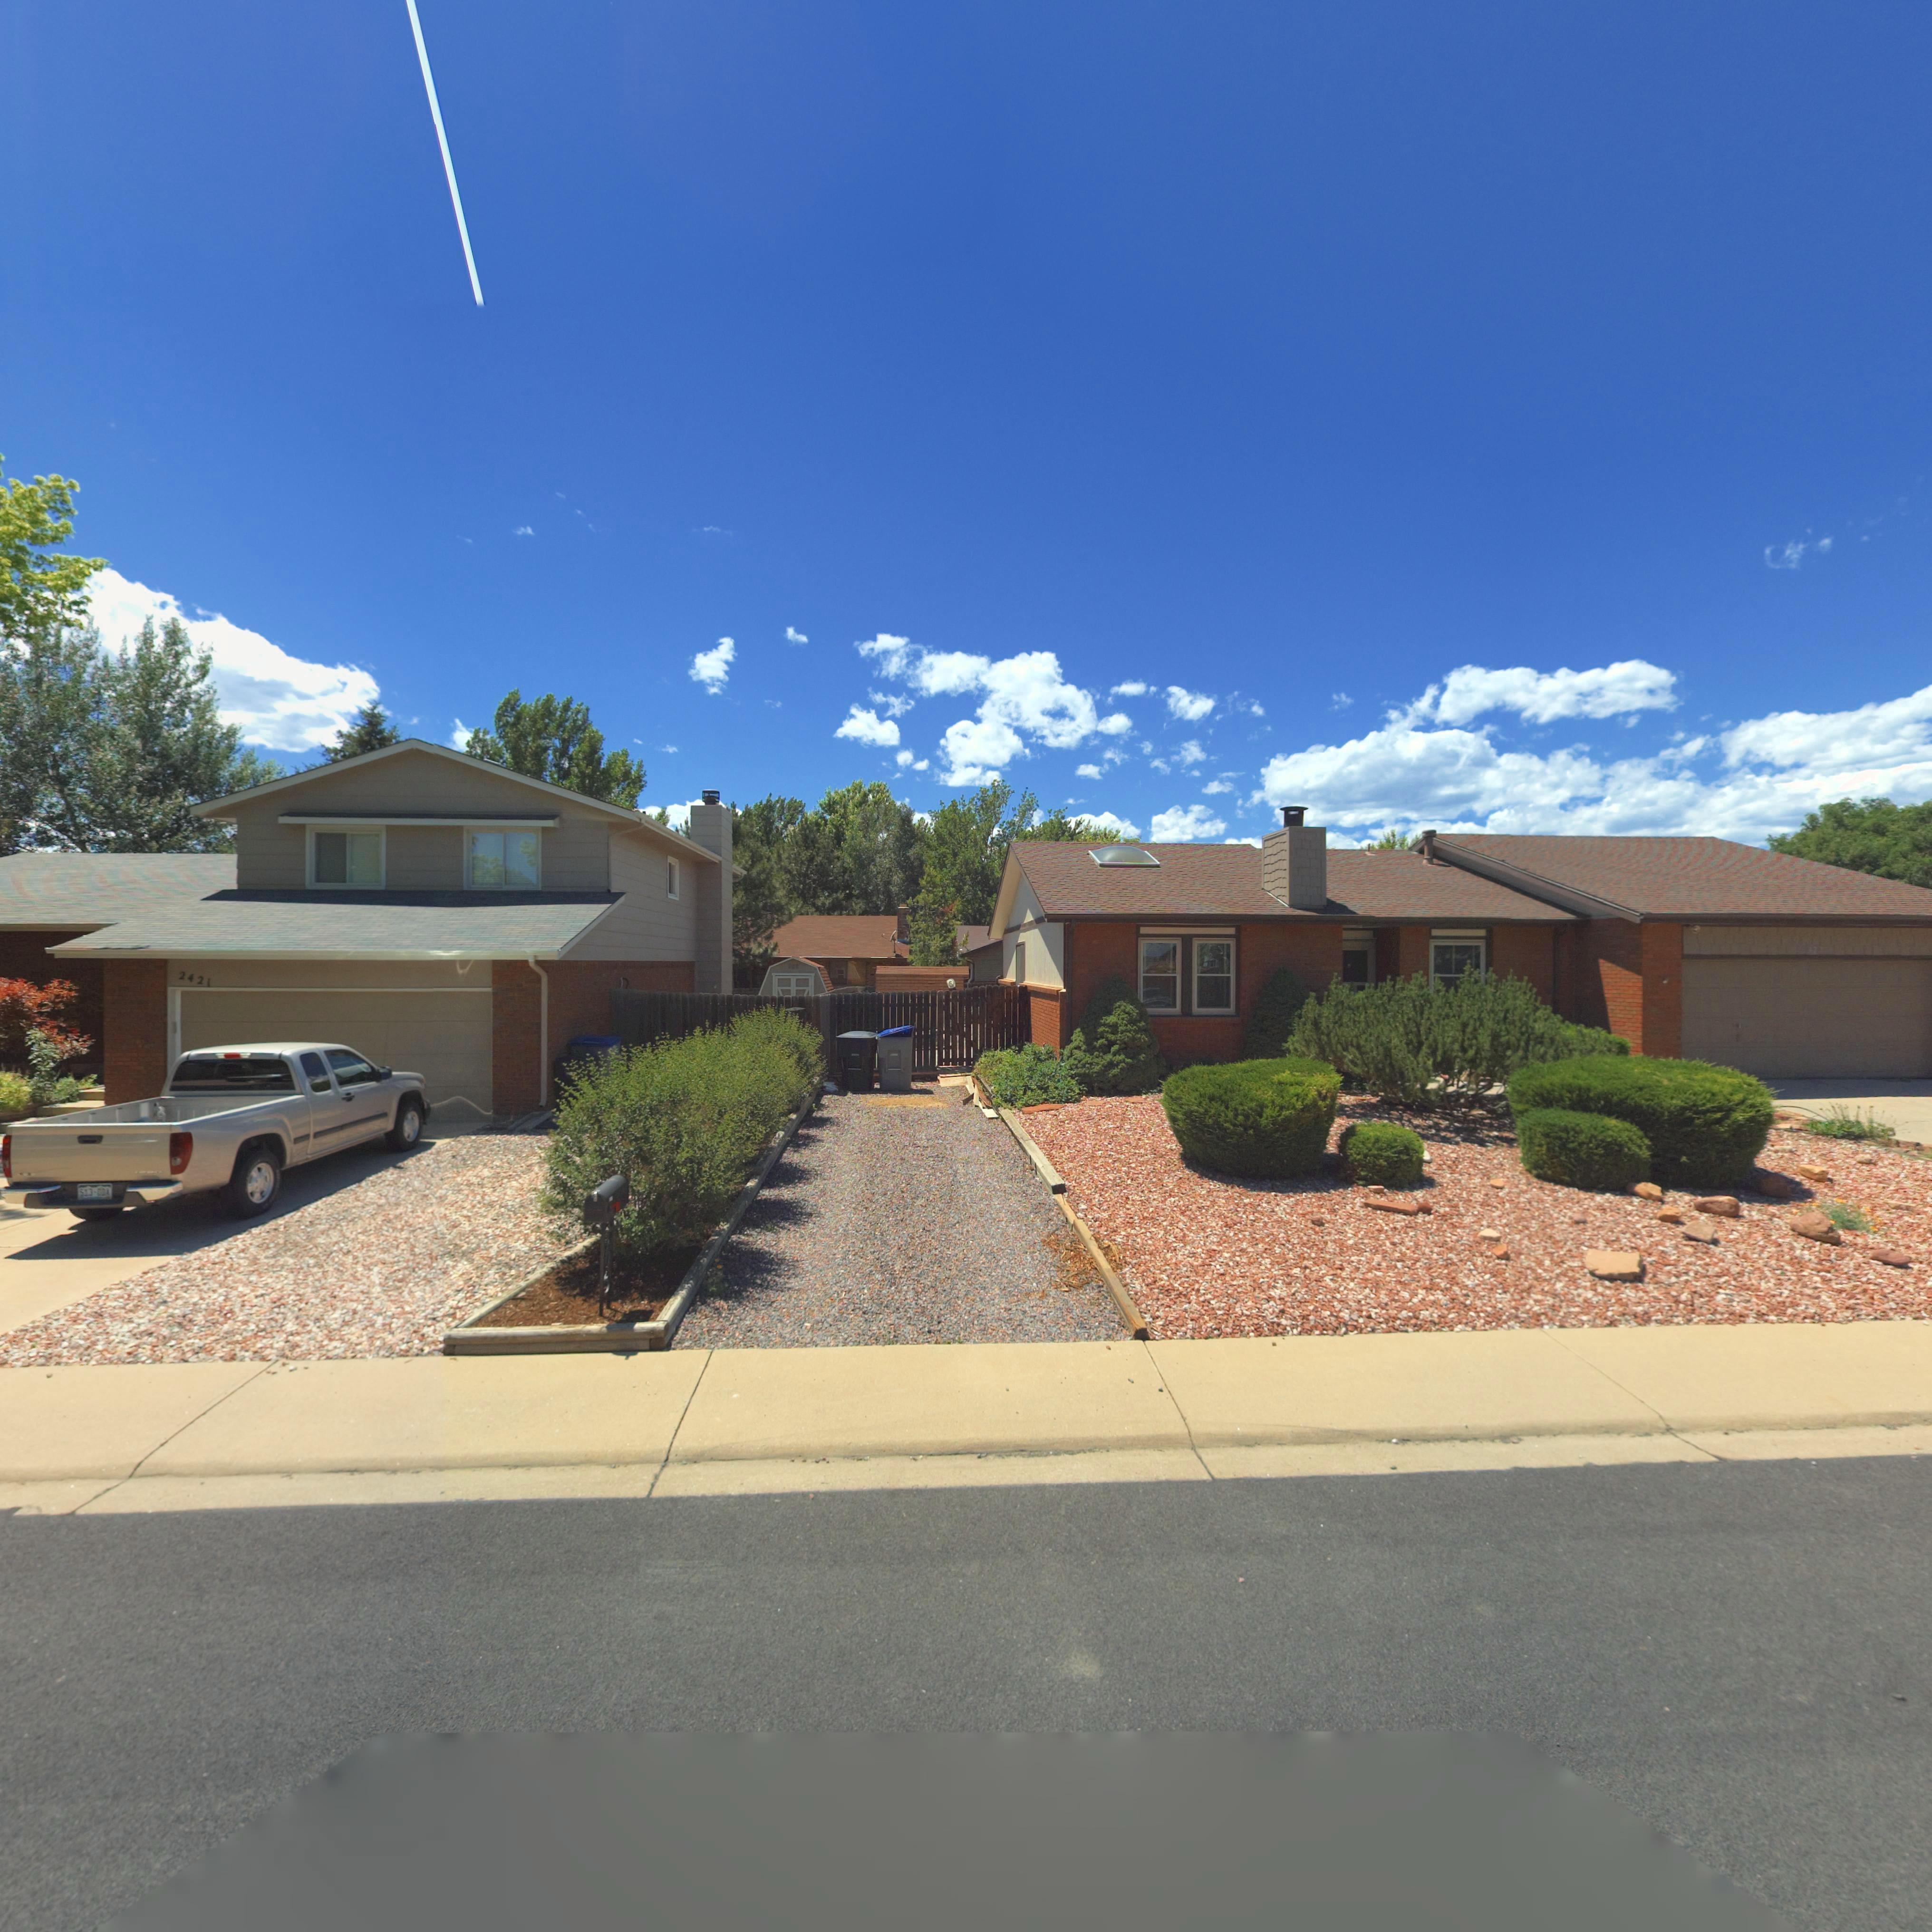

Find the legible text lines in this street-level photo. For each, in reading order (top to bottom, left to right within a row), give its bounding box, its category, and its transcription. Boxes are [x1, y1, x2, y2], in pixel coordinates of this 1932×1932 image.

[177, 970, 211, 987] StreetNumber: 2421